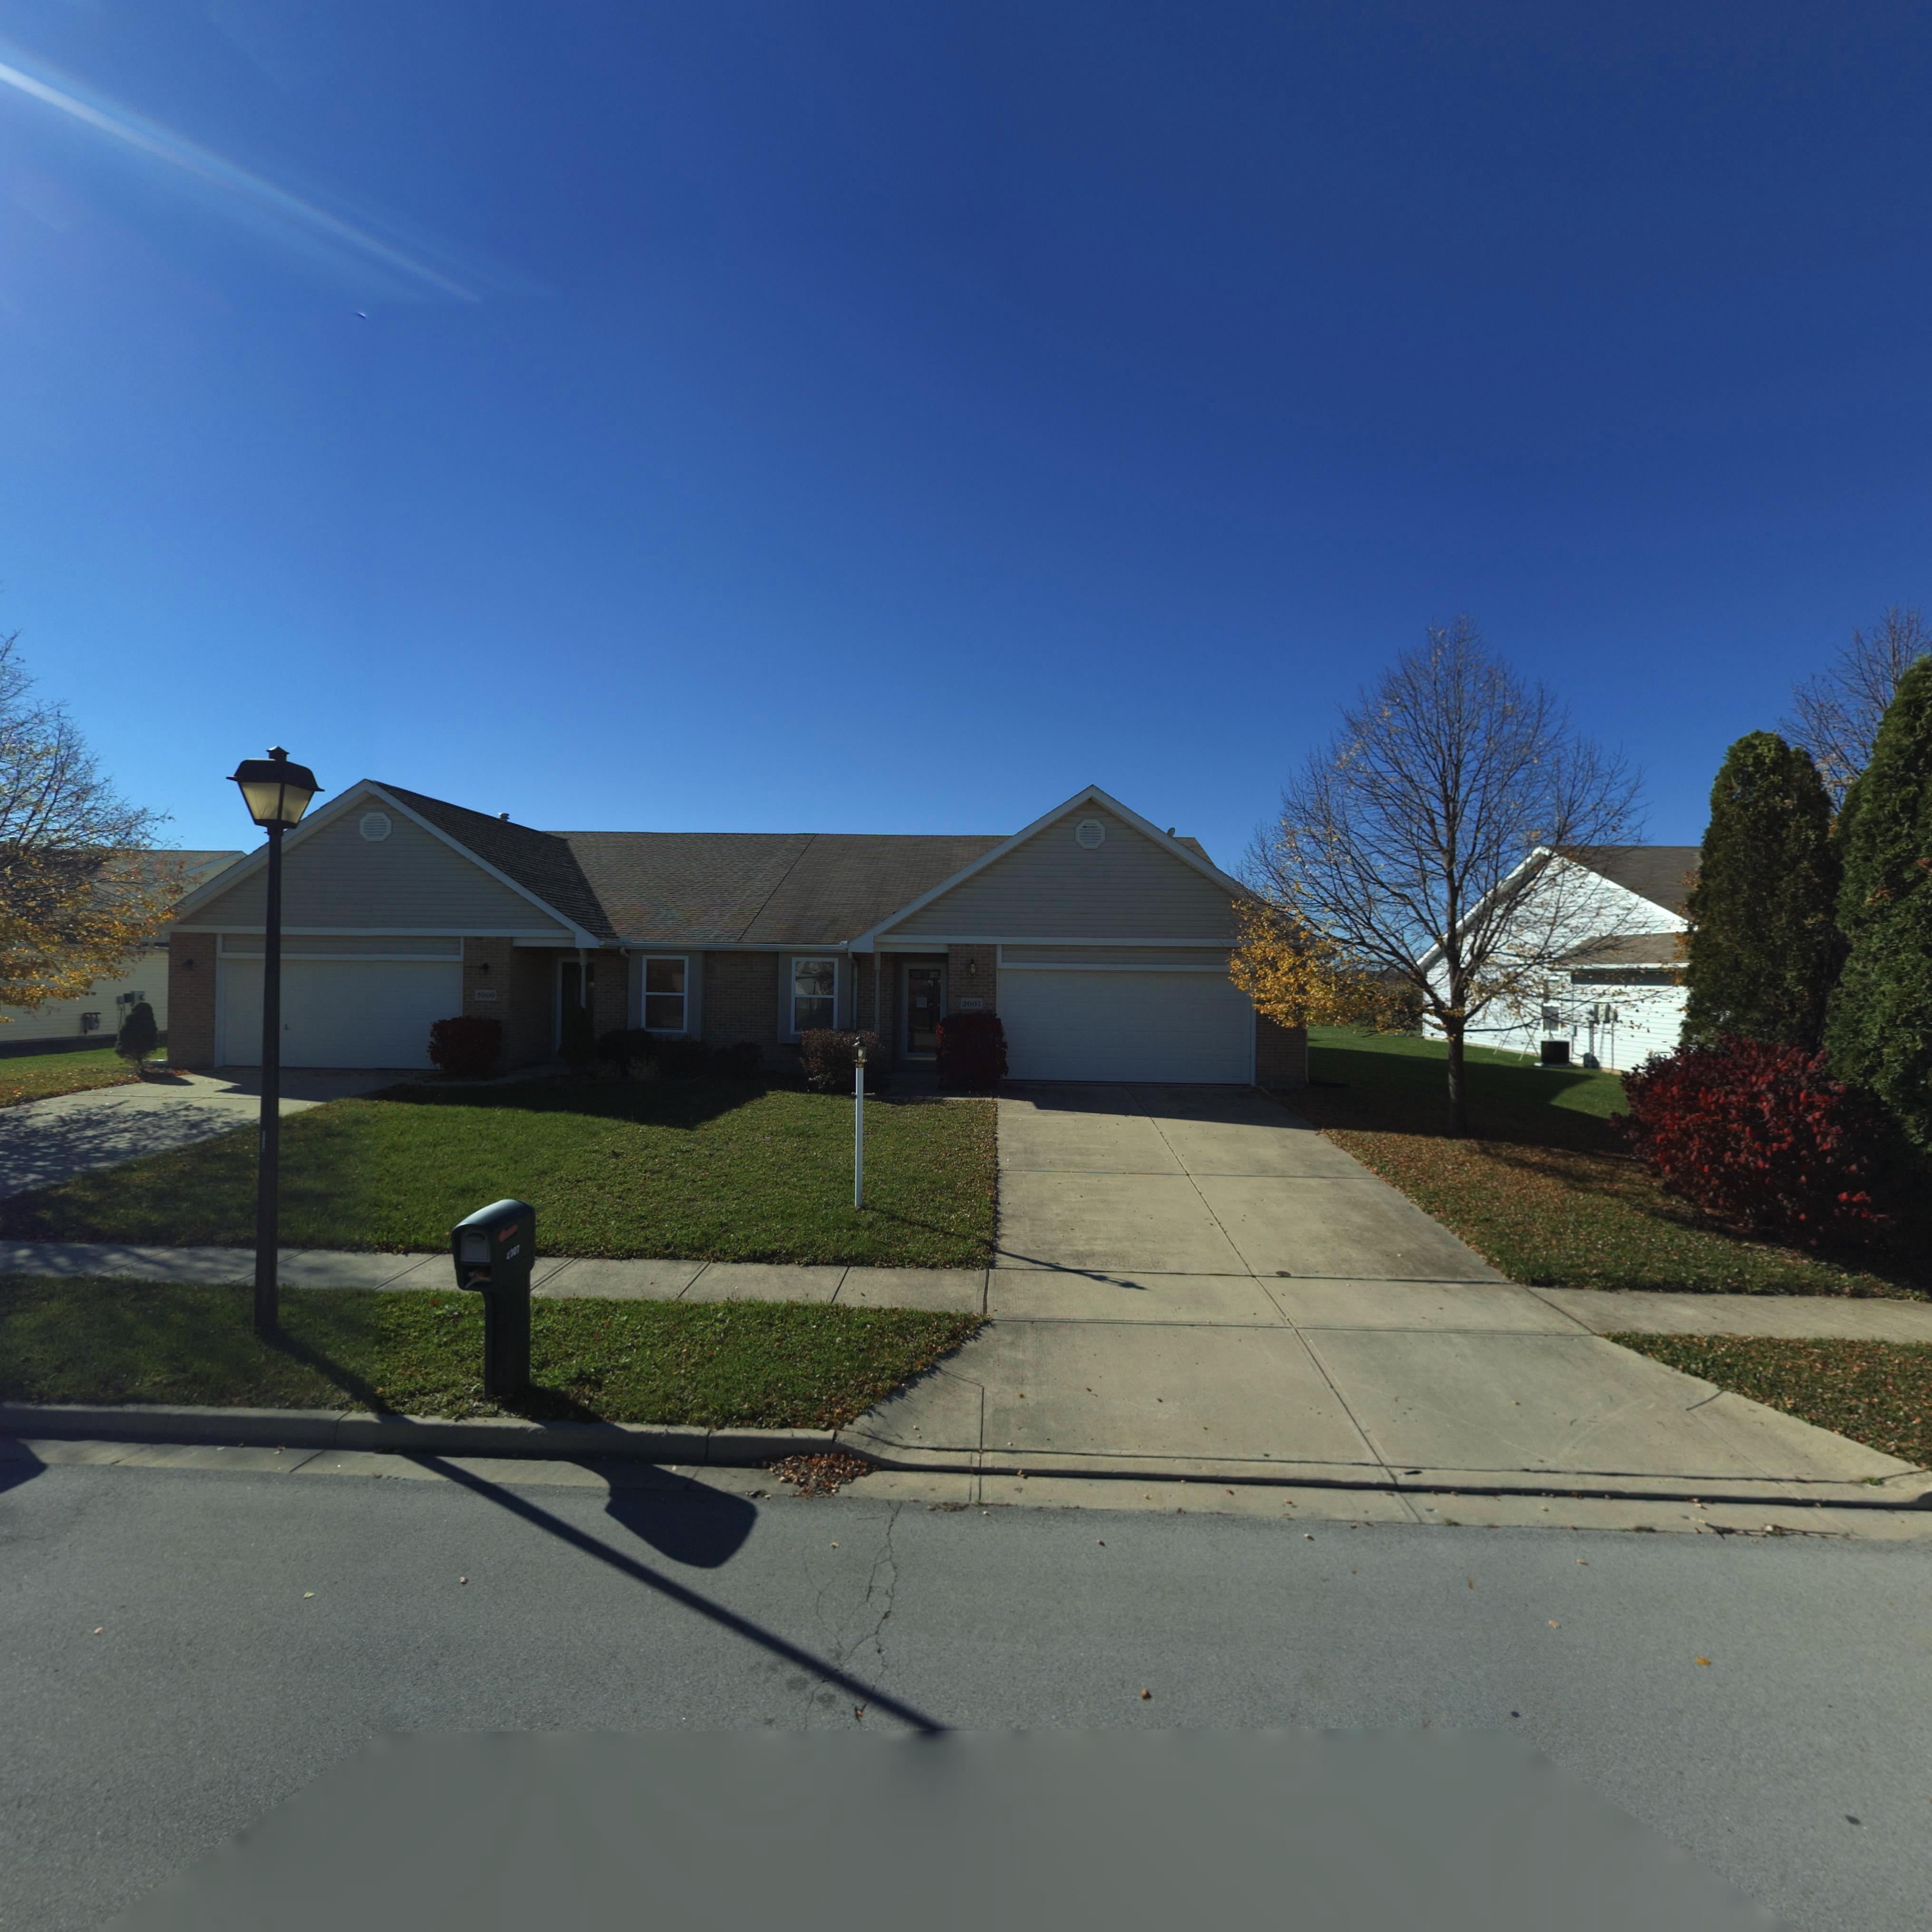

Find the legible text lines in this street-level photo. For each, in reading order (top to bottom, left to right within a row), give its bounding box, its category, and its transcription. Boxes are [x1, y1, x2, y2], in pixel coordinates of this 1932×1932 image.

[476, 991, 496, 999] StreetNumber: 2009
[961, 999, 982, 1008] StreetNumber: 2007
[504, 1244, 521, 1262] StreetNumber: **07